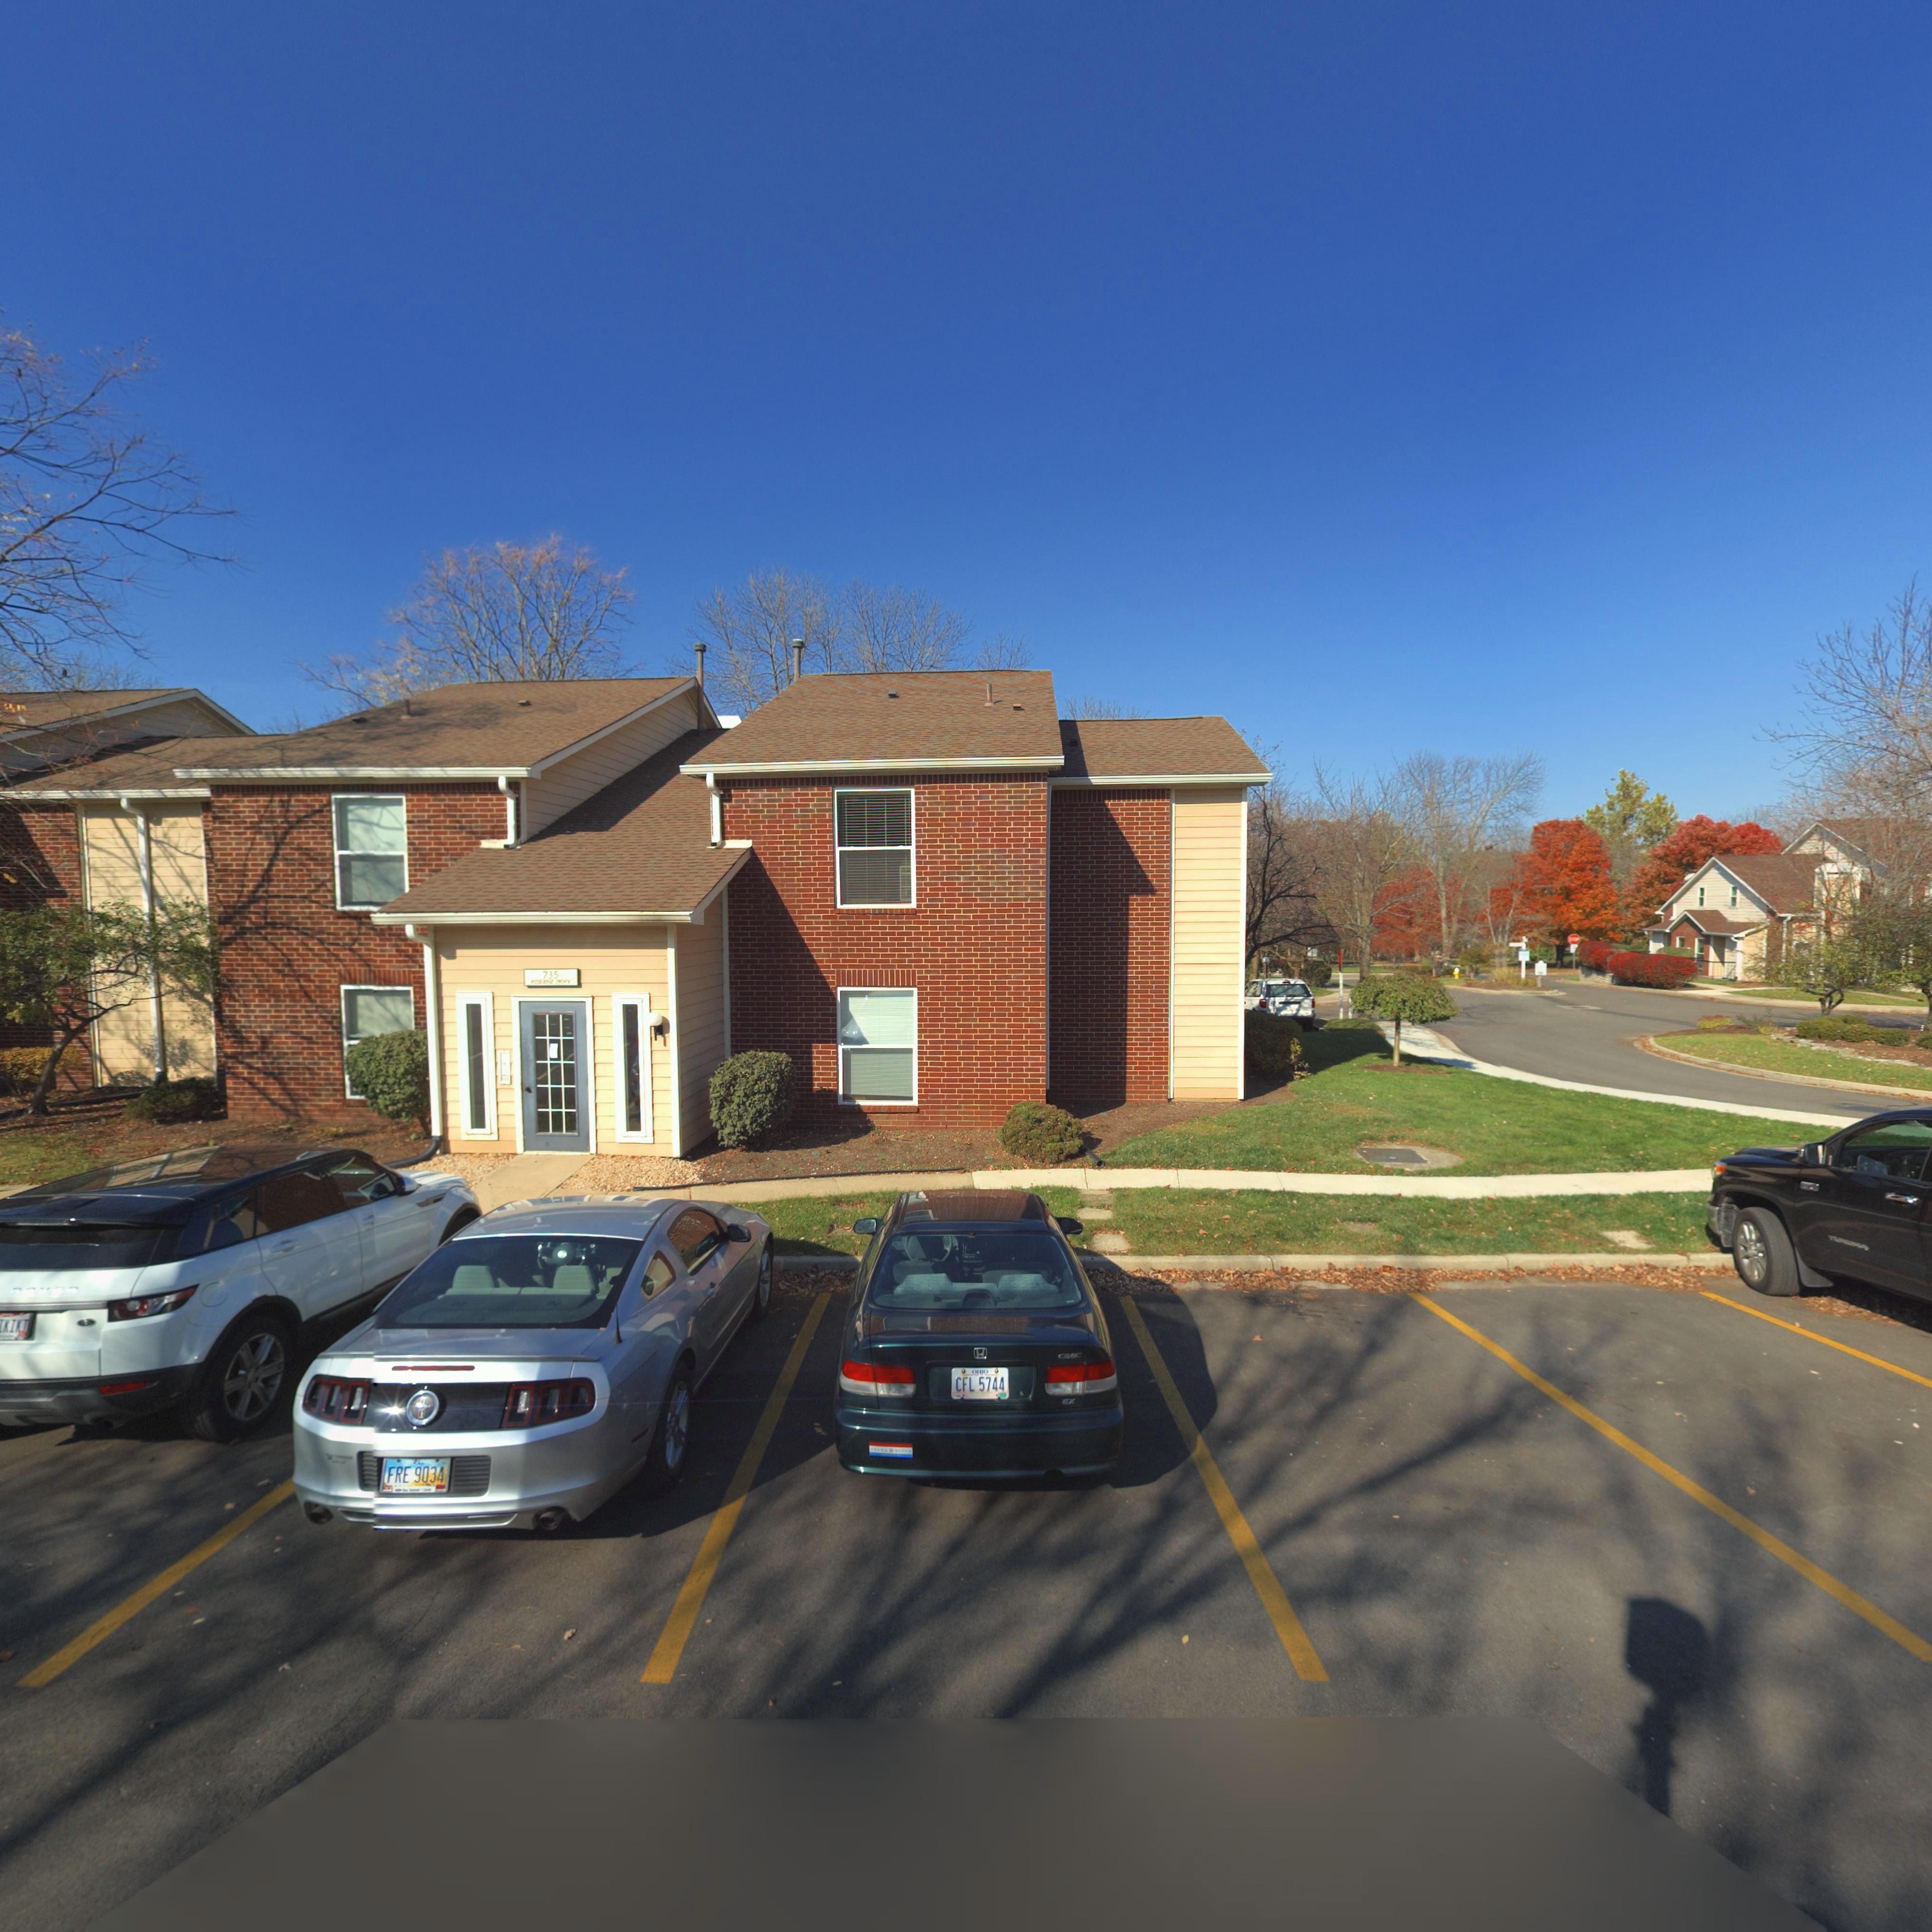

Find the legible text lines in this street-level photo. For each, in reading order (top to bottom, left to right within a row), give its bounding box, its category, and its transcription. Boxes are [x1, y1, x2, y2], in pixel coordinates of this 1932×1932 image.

[541, 971, 559, 979] StreetNumber: 735
[531, 979, 571, 984] StreetName: RESIDENZ PKWY
[1827, 1233, 1872, 1253] None: TUNDRA
[8, 1285, 79, 1296] None: ROVER
[1, 1318, 30, 1334] None: KIKT
[1058, 1352, 1082, 1360] None: CIVIC
[972, 1369, 989, 1375] None: OHIO
[955, 1376, 1005, 1393] None: CFL 5744
[1061, 1398, 1077, 1405] None: EX
[869, 1447, 912, 1454] None: OBAMA * BIDEN
[386, 1465, 444, 1483] None: FRE 9034